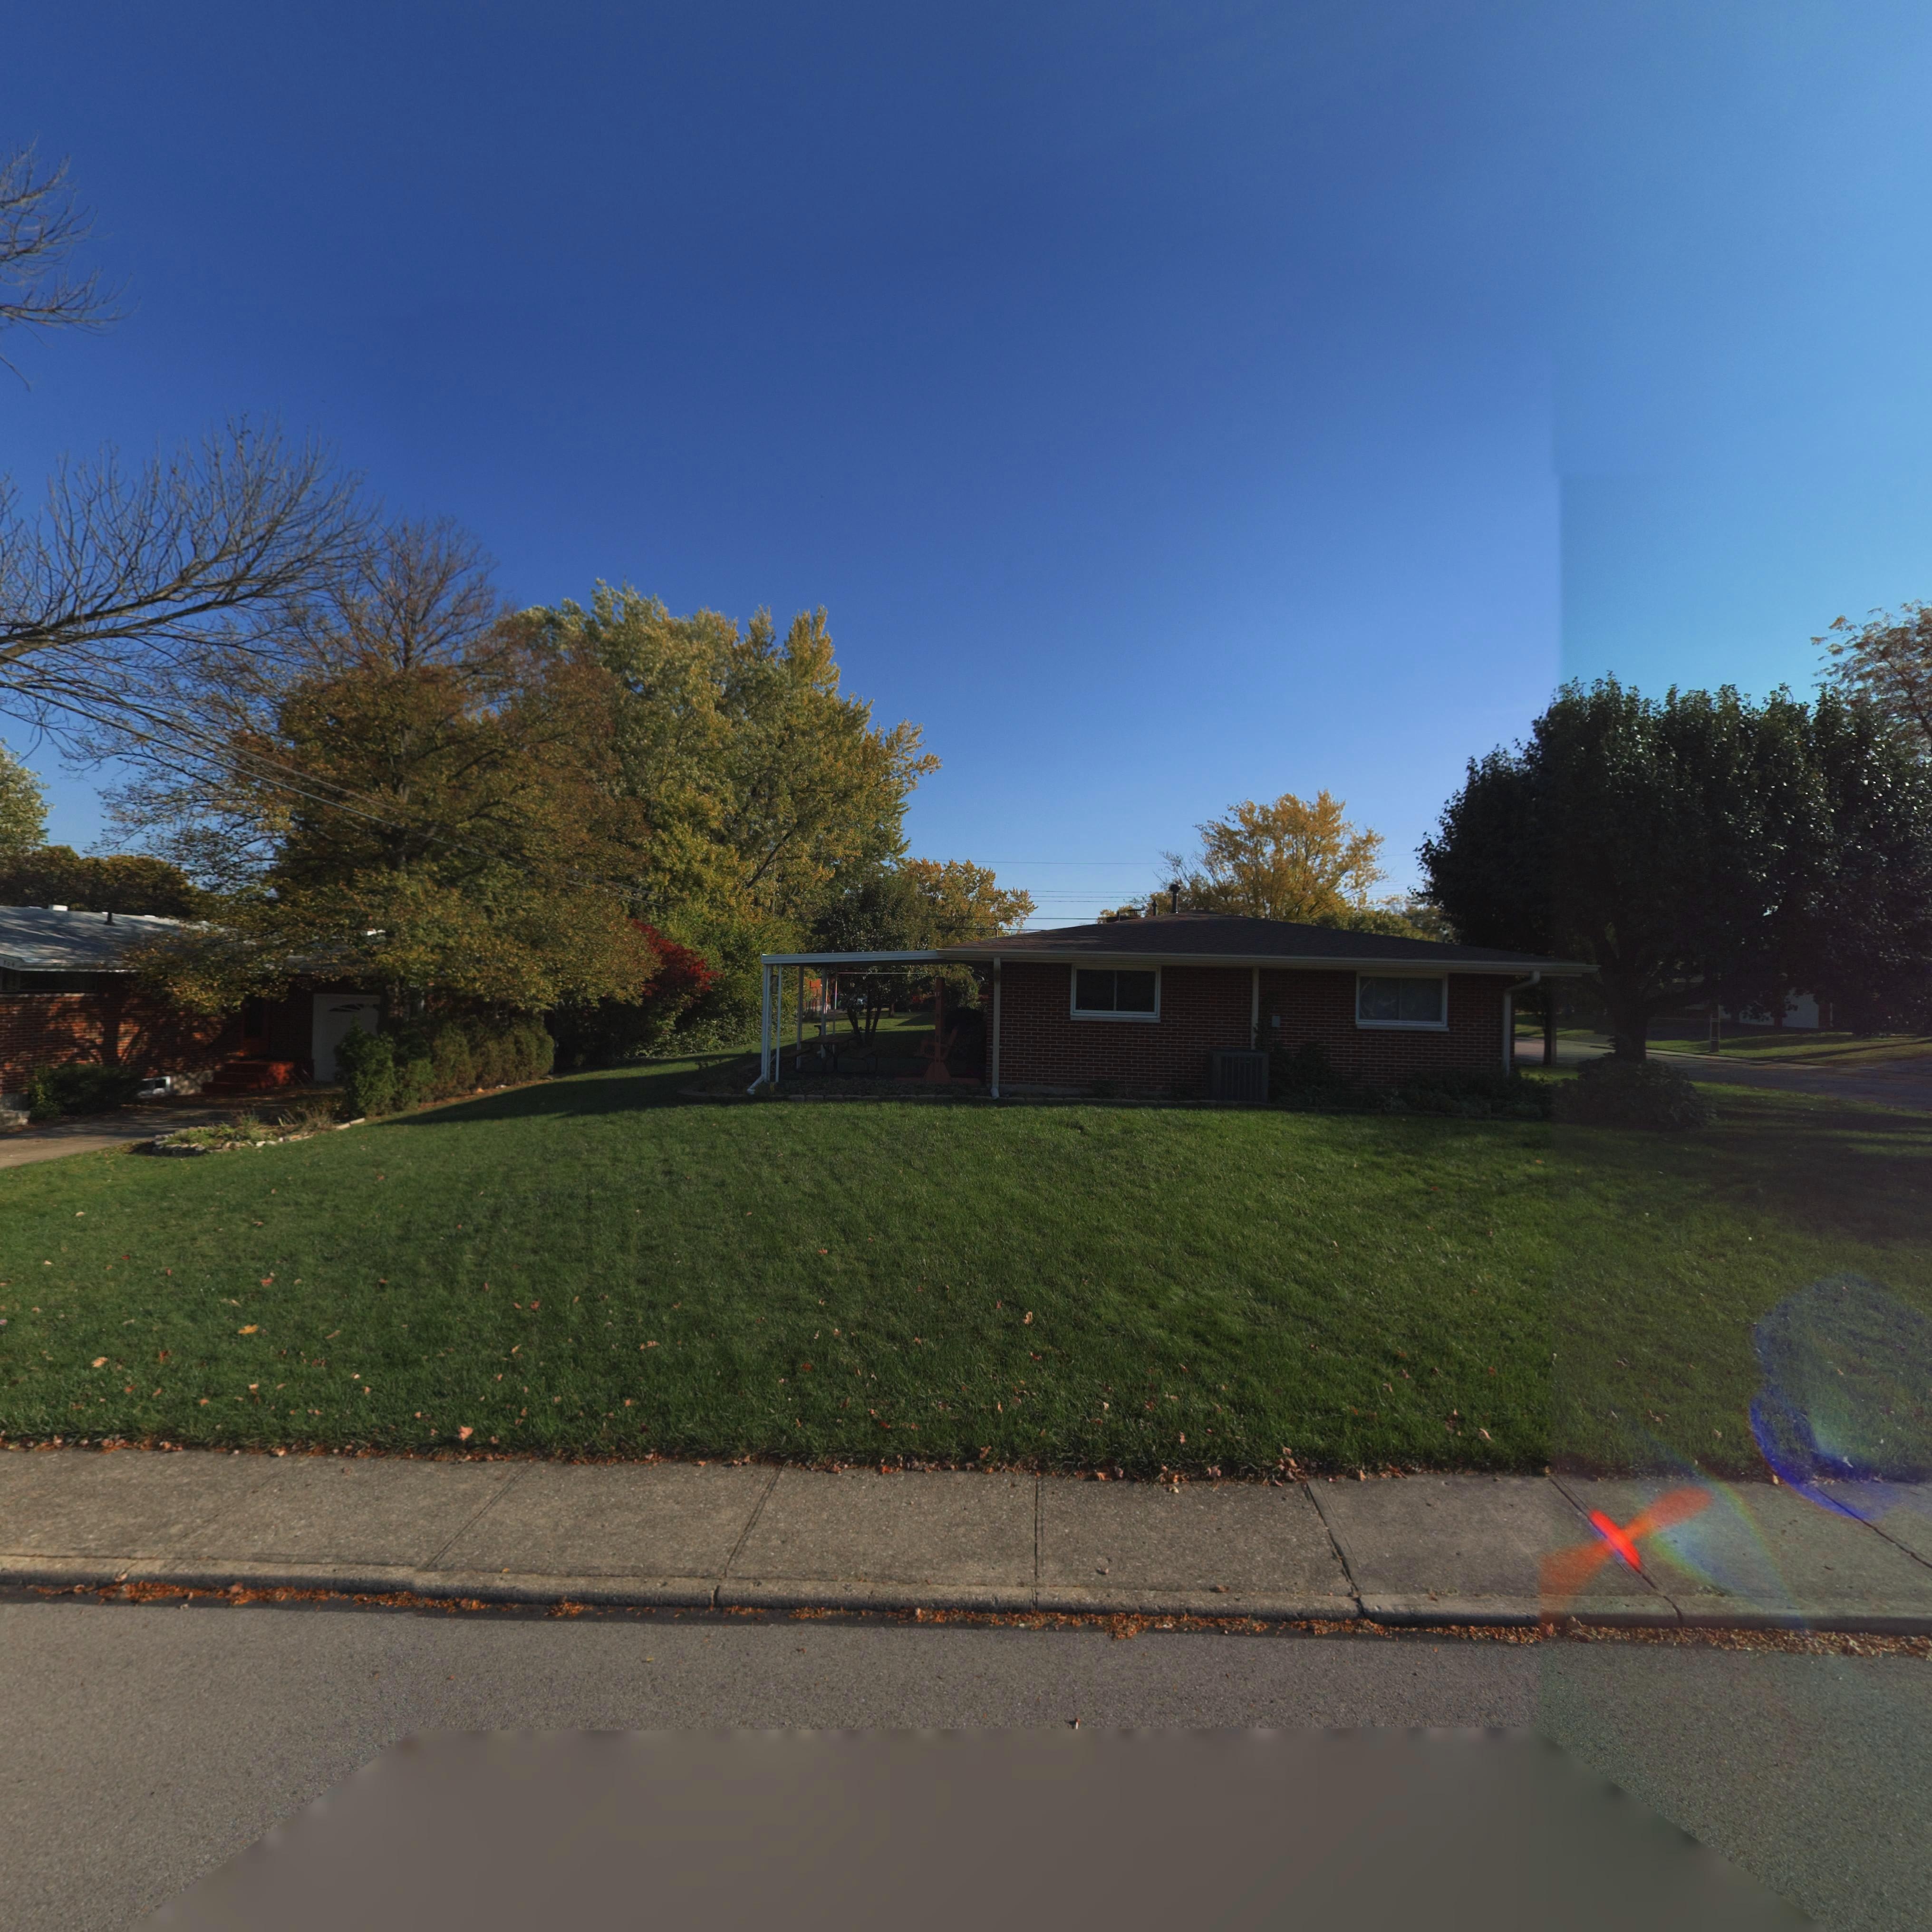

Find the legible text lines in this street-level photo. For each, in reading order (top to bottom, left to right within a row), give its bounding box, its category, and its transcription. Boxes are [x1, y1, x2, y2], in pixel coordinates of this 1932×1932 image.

[2, 959, 16, 968] StreetNumber: *0*